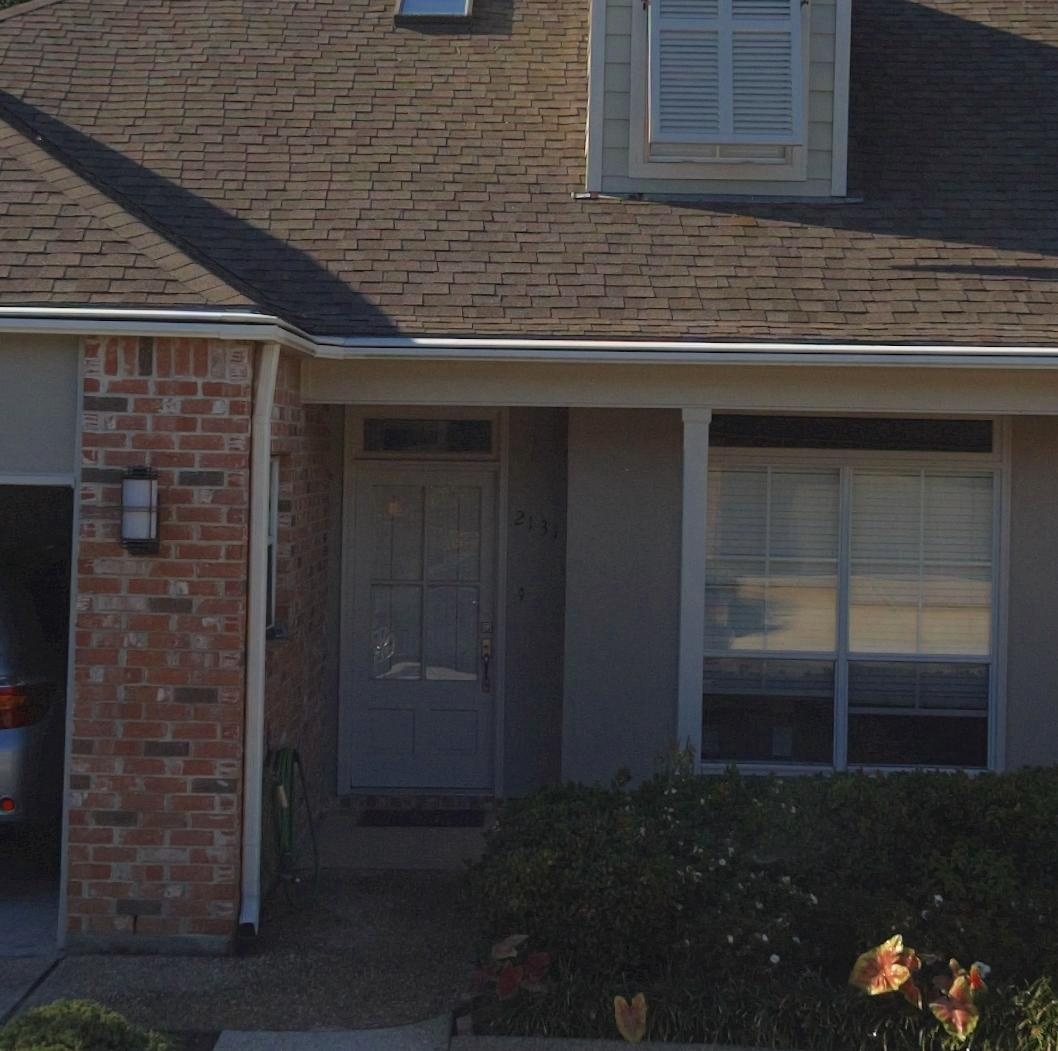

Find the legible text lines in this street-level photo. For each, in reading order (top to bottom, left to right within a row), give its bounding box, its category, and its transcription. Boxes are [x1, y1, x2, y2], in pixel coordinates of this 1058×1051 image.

[511, 506, 549, 541] StreetNumber: 213